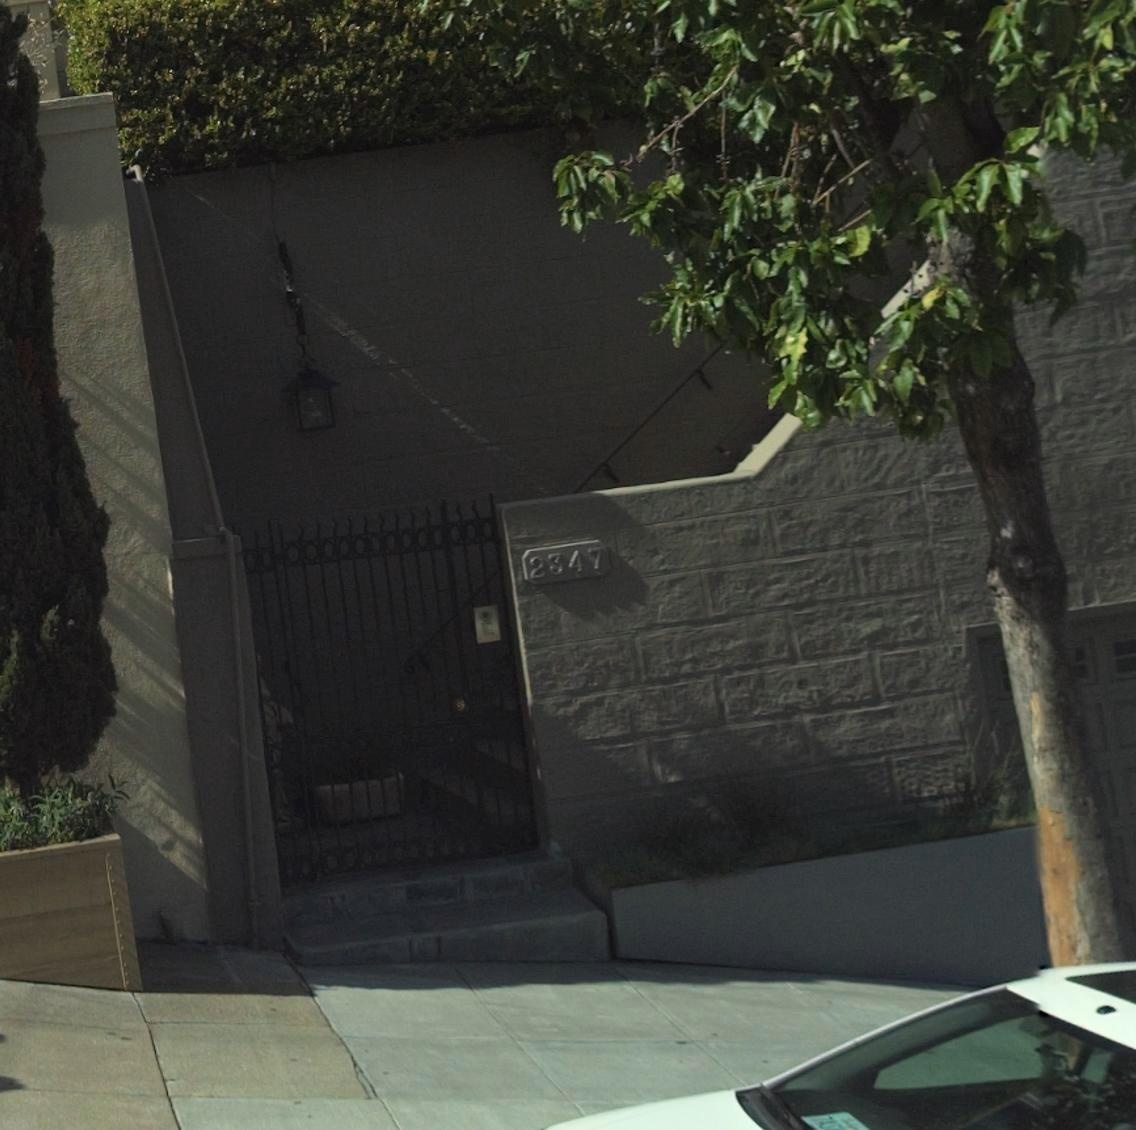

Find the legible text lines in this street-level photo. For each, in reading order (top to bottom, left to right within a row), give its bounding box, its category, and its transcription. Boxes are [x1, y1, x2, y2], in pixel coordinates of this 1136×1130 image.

[527, 545, 603, 581] StreetNumber: 2347